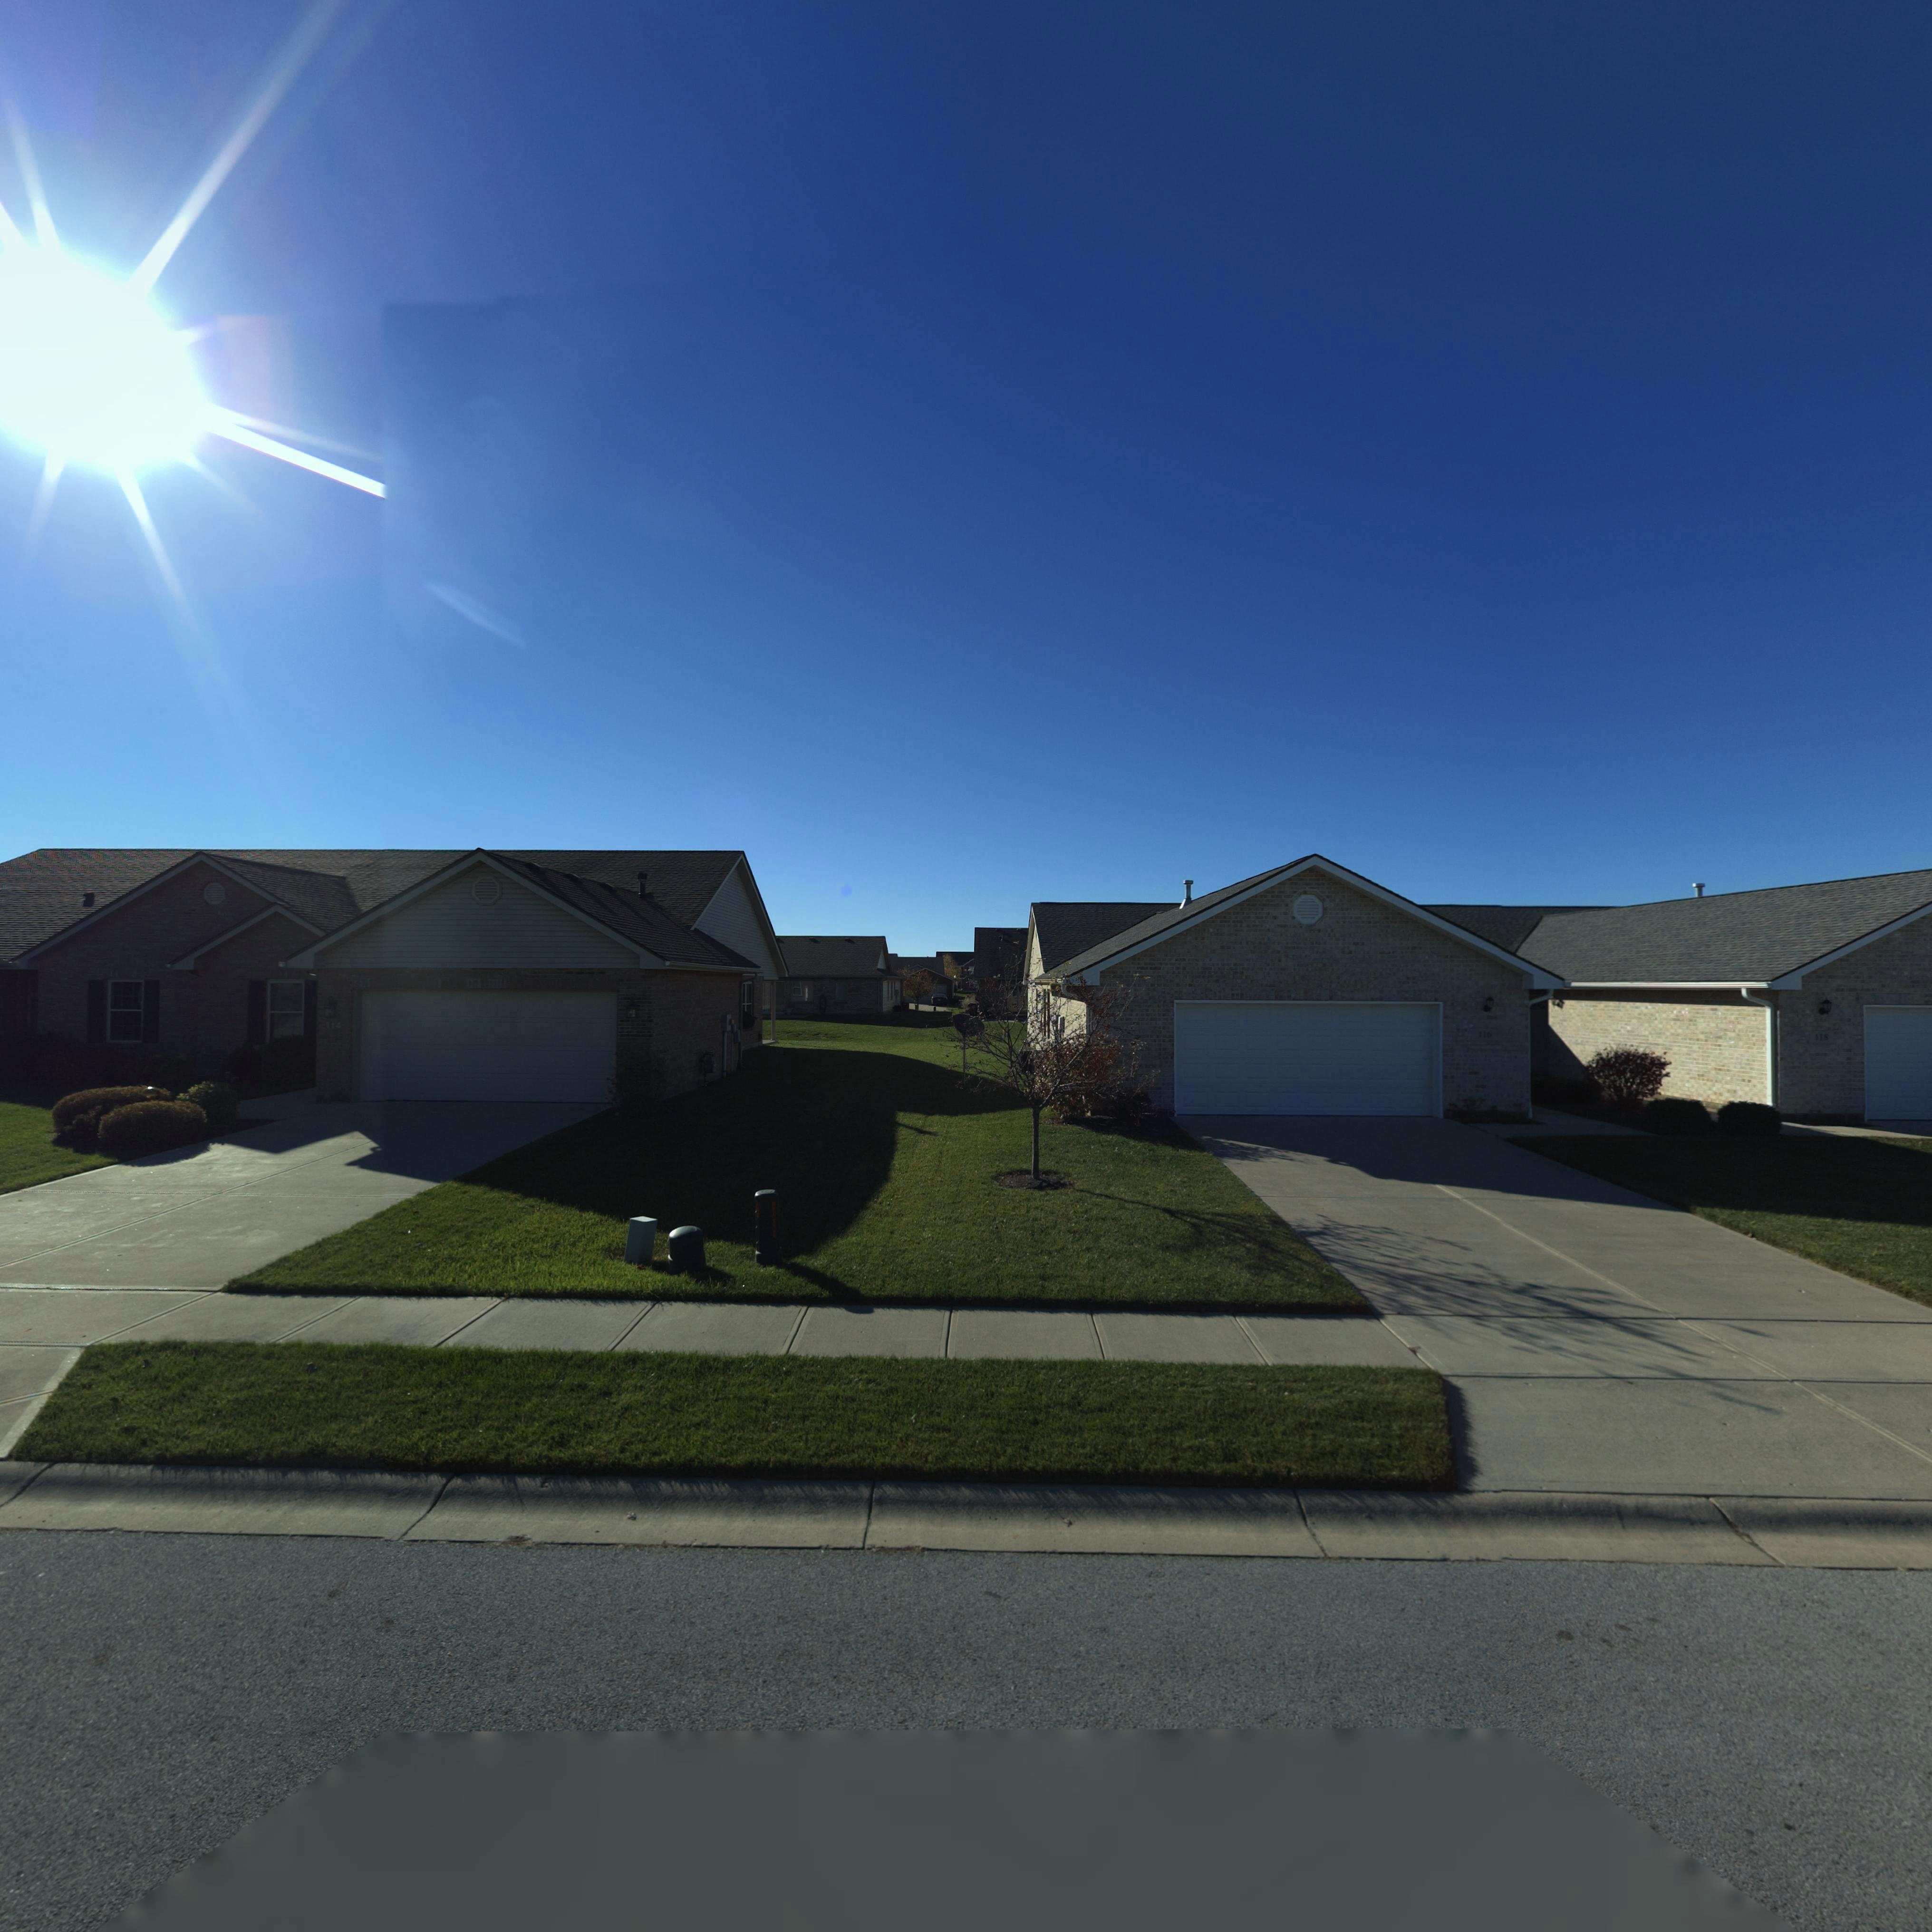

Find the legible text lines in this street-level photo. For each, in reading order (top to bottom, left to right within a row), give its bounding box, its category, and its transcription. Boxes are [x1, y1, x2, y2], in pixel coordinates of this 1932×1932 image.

[325, 1022, 341, 1030] StreetNumber: 114
[1478, 1031, 1492, 1039] StreetNumber: 116